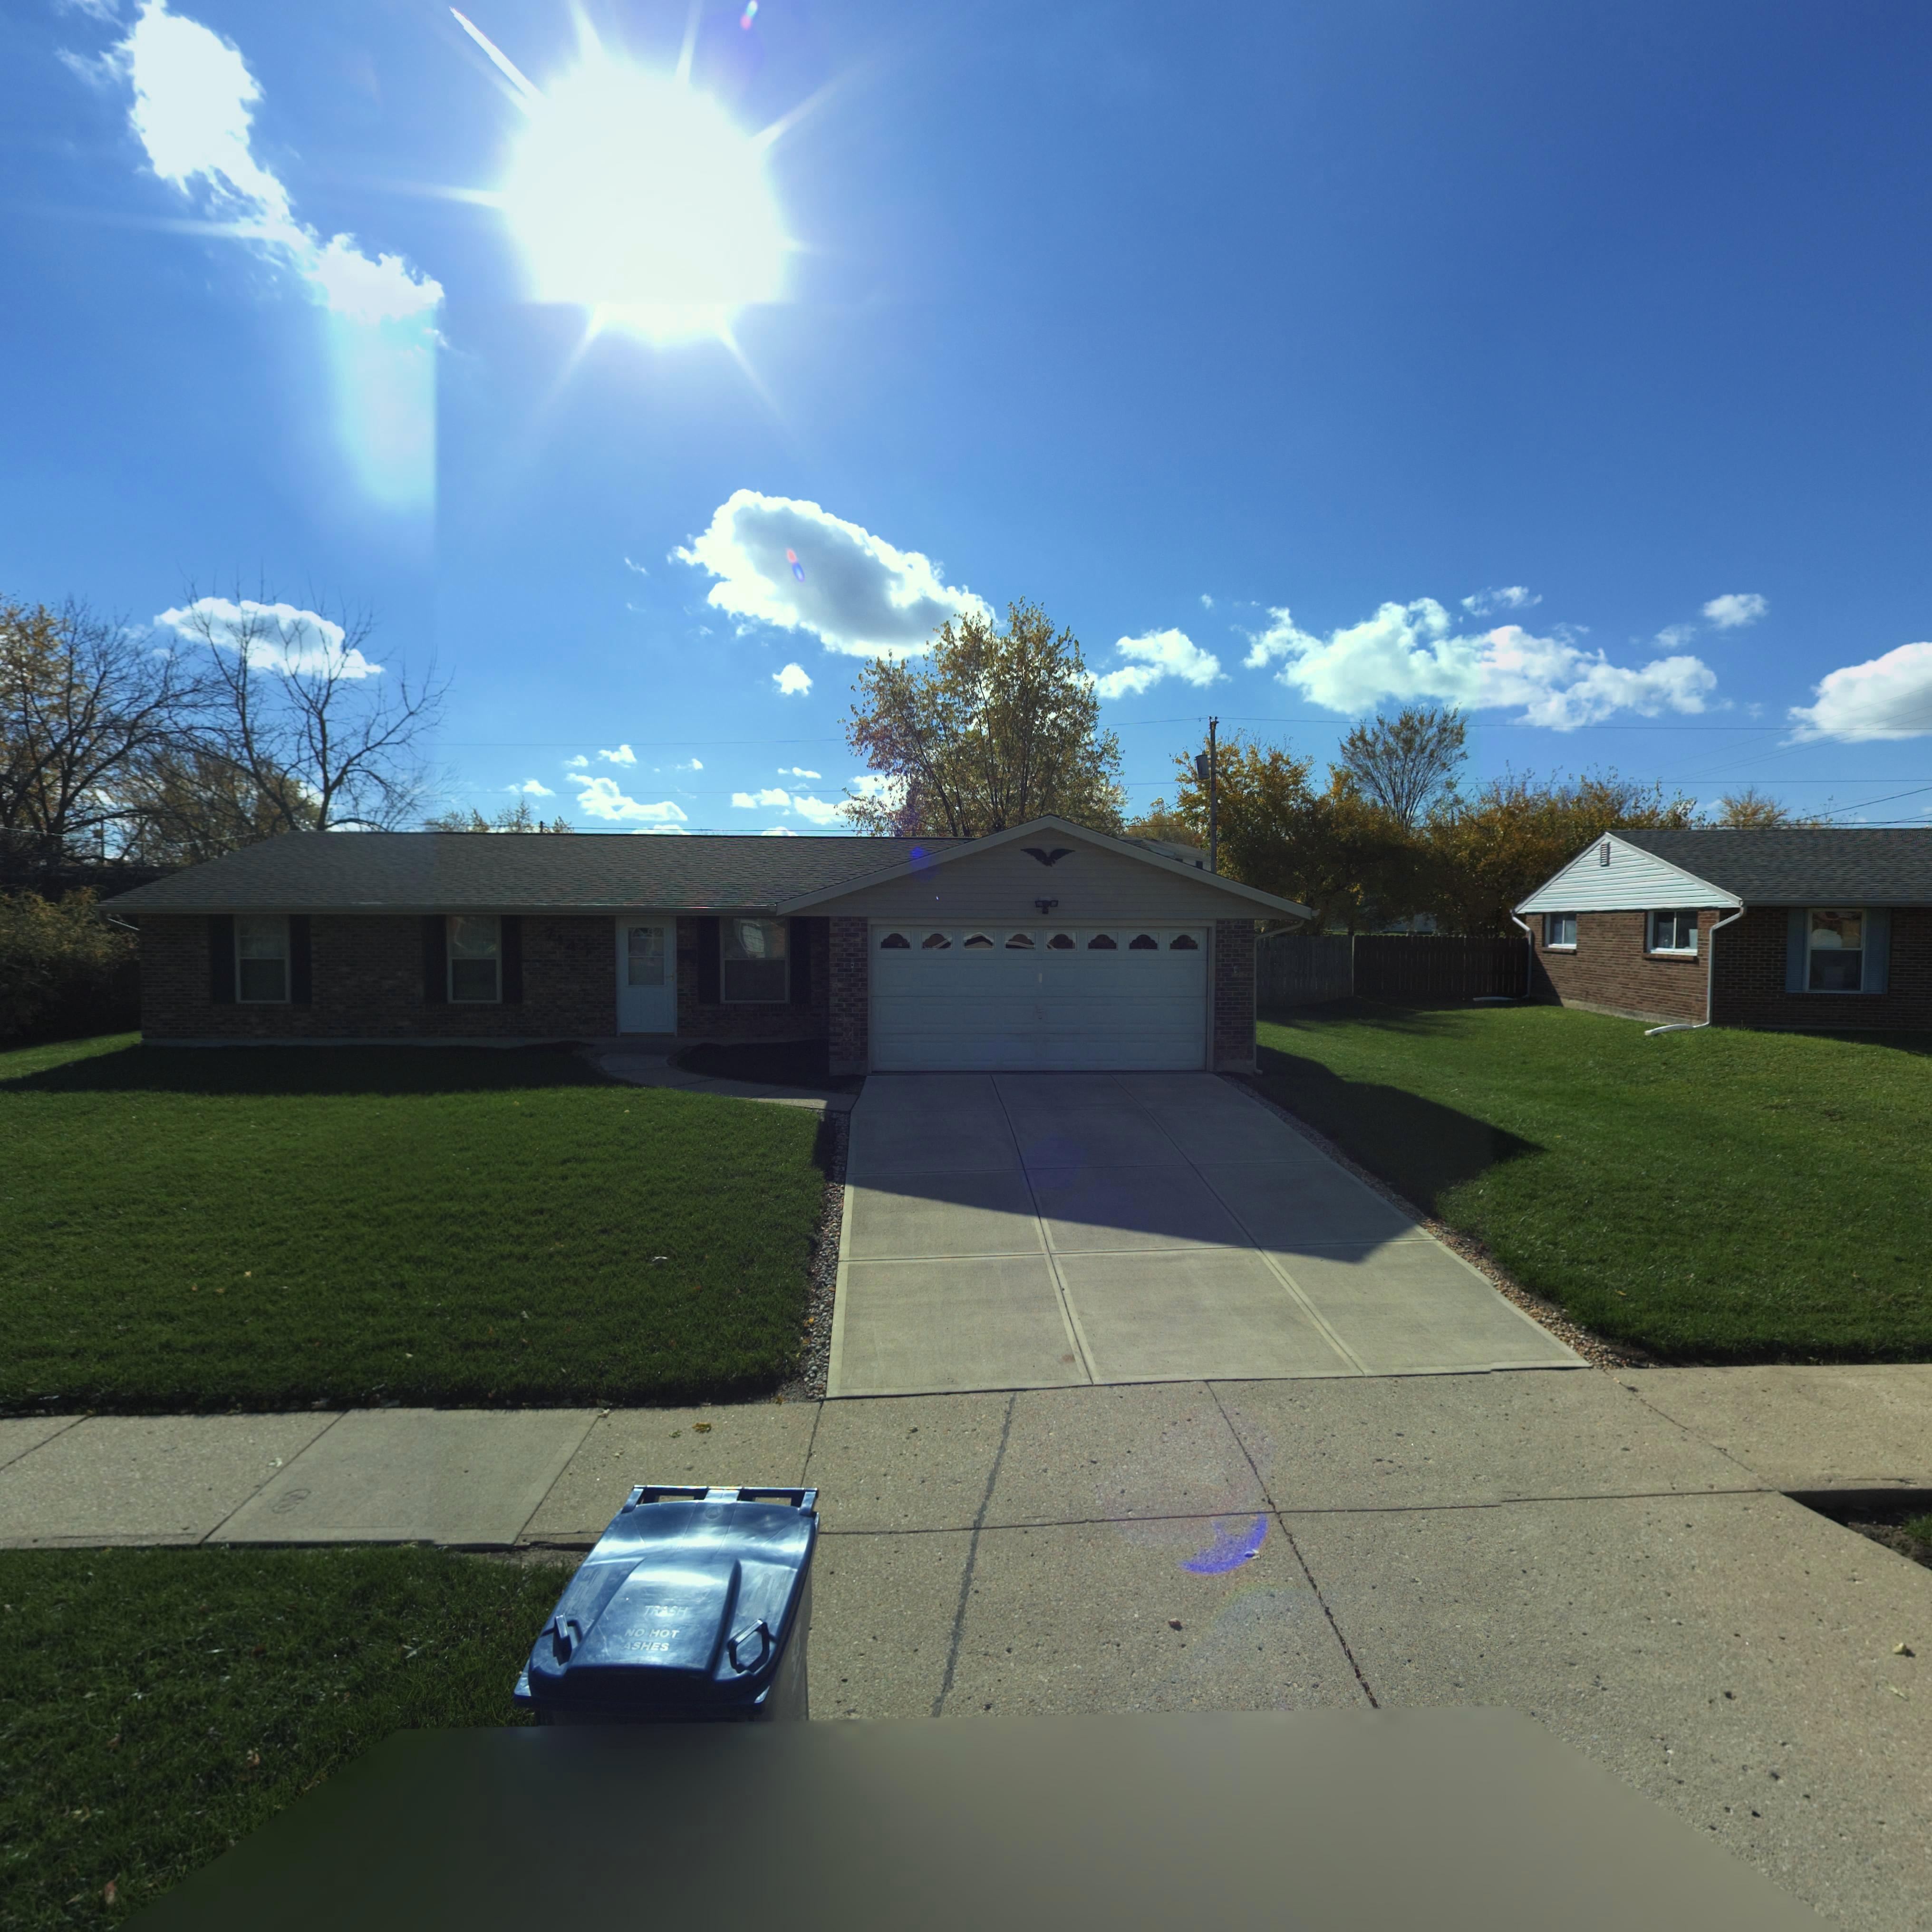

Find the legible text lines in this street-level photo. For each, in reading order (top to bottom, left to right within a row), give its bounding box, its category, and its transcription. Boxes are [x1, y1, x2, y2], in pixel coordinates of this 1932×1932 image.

[543, 927, 592, 959] StreetNumber: 7*4*